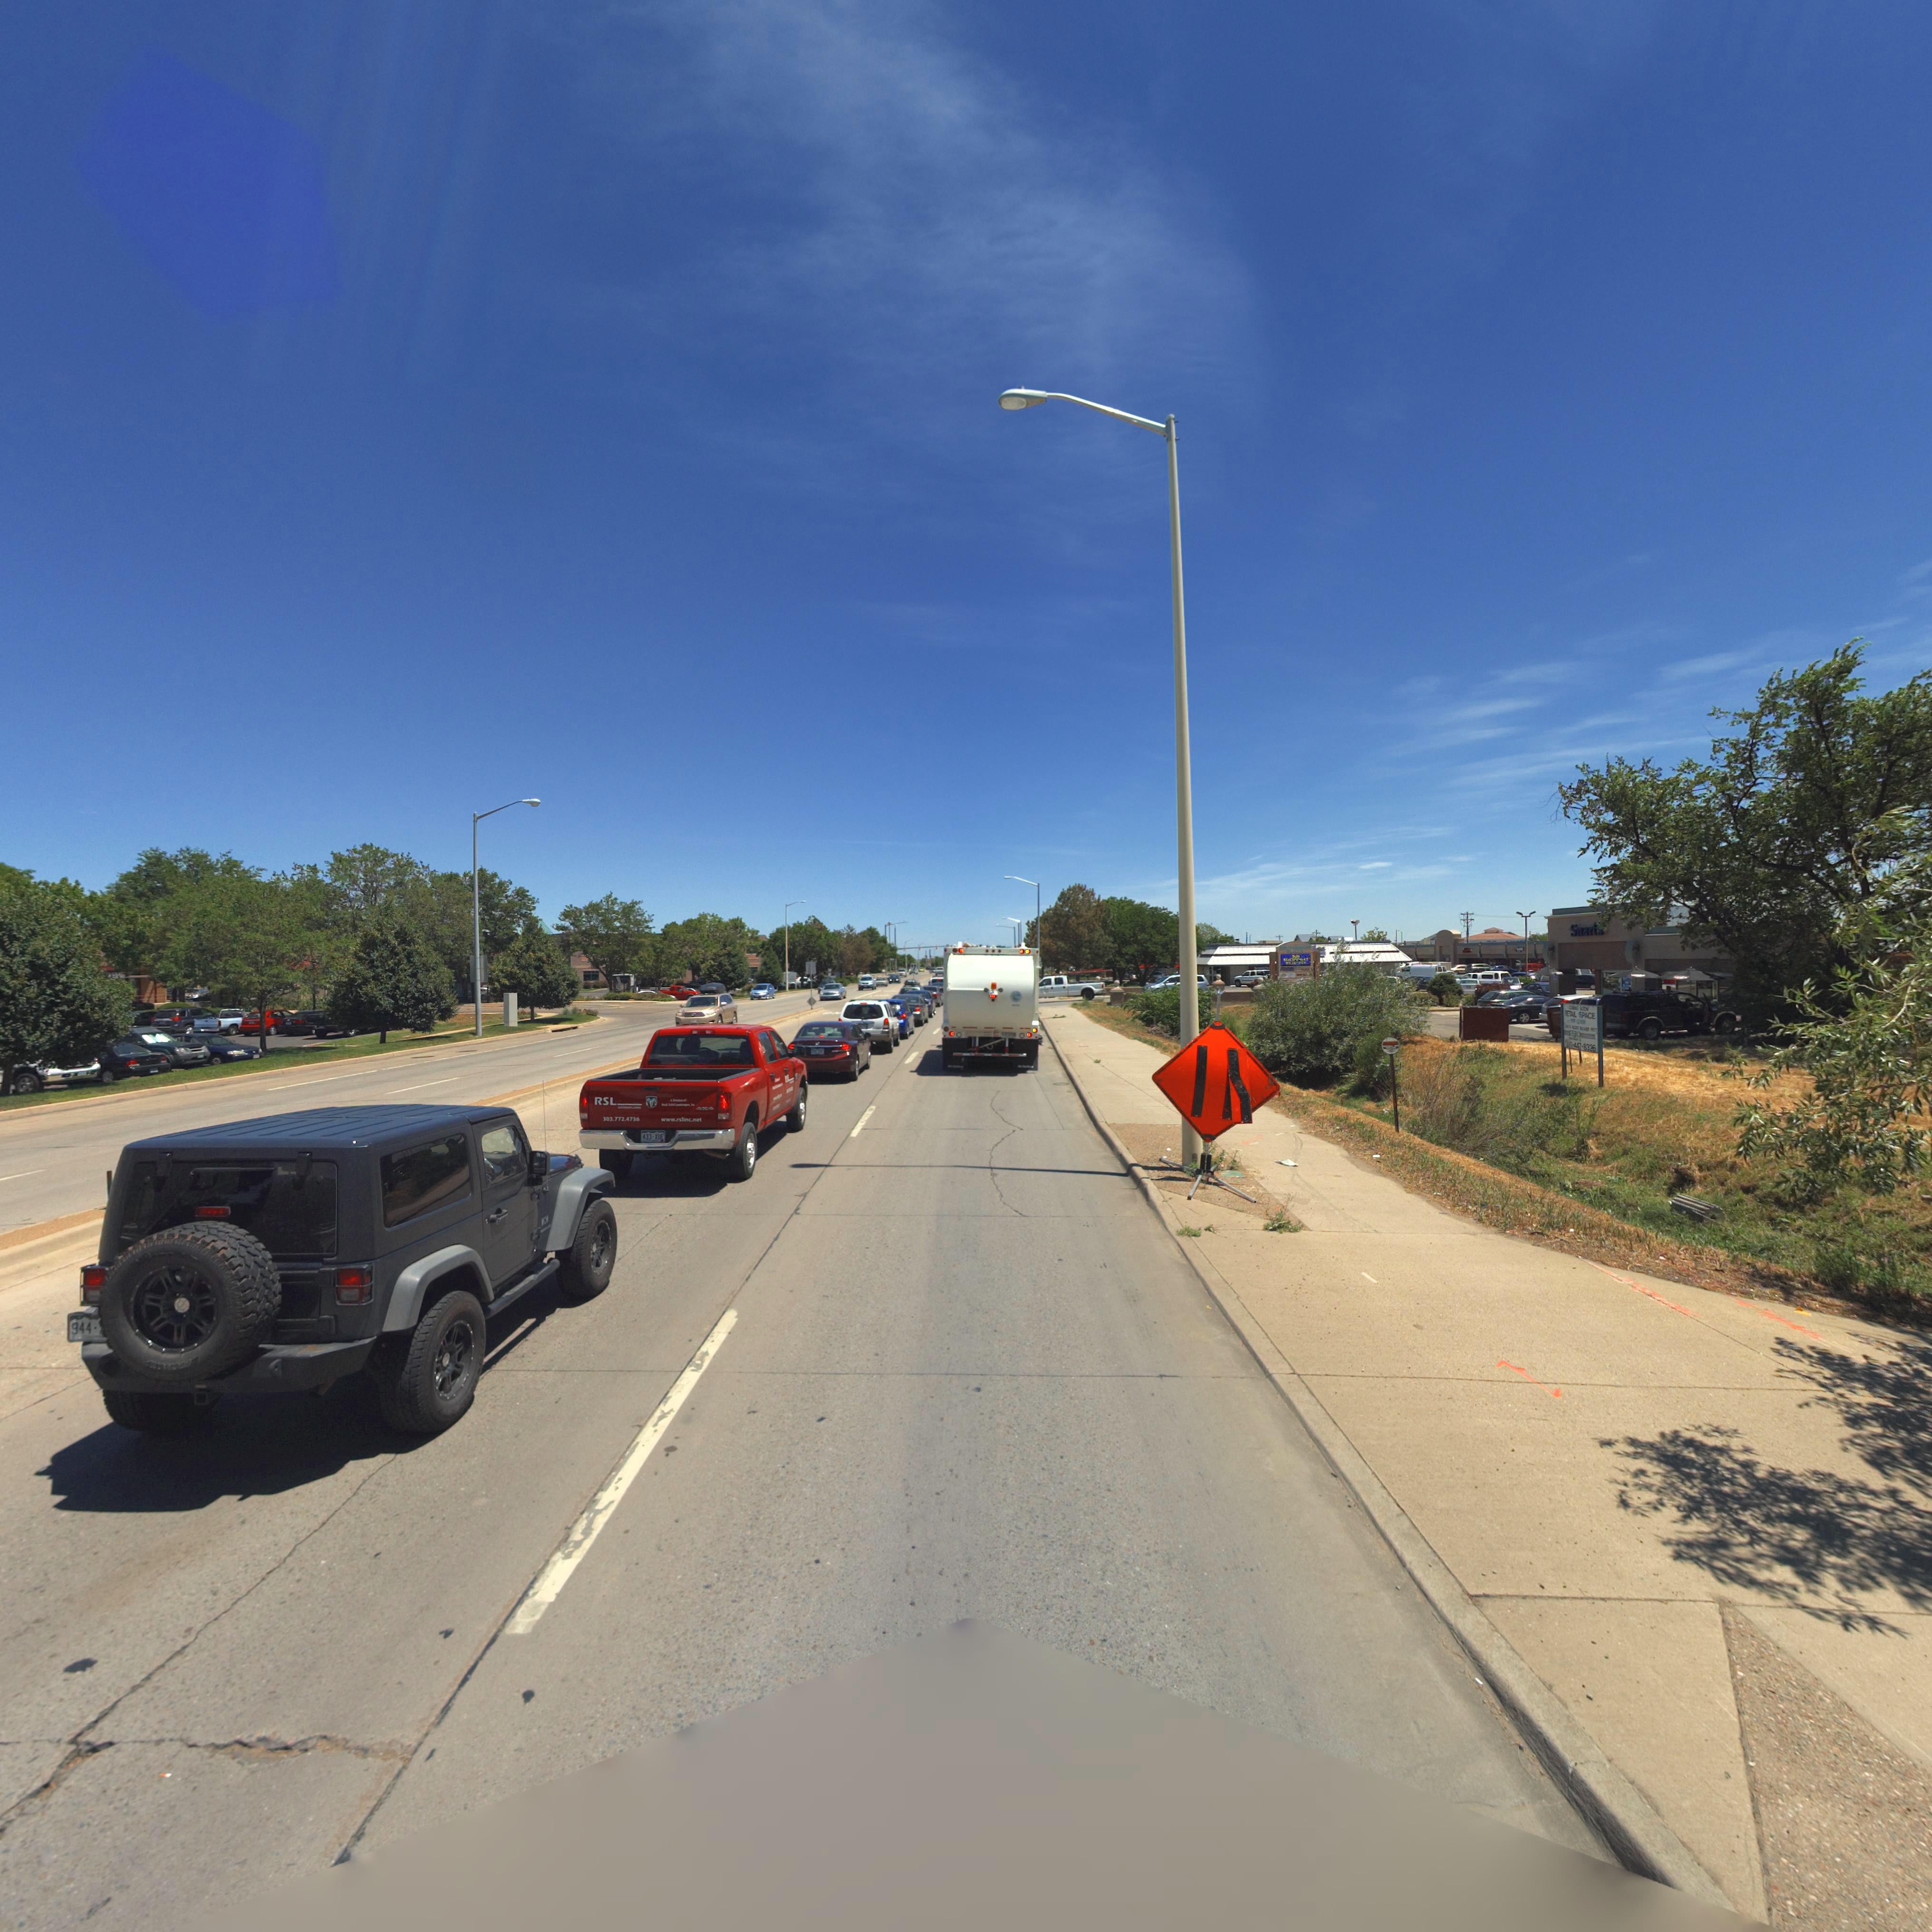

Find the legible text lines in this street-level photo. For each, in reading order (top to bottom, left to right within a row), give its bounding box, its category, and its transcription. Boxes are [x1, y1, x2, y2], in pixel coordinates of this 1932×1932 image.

[1568, 920, 1606, 937] BusinessName: Snarf**